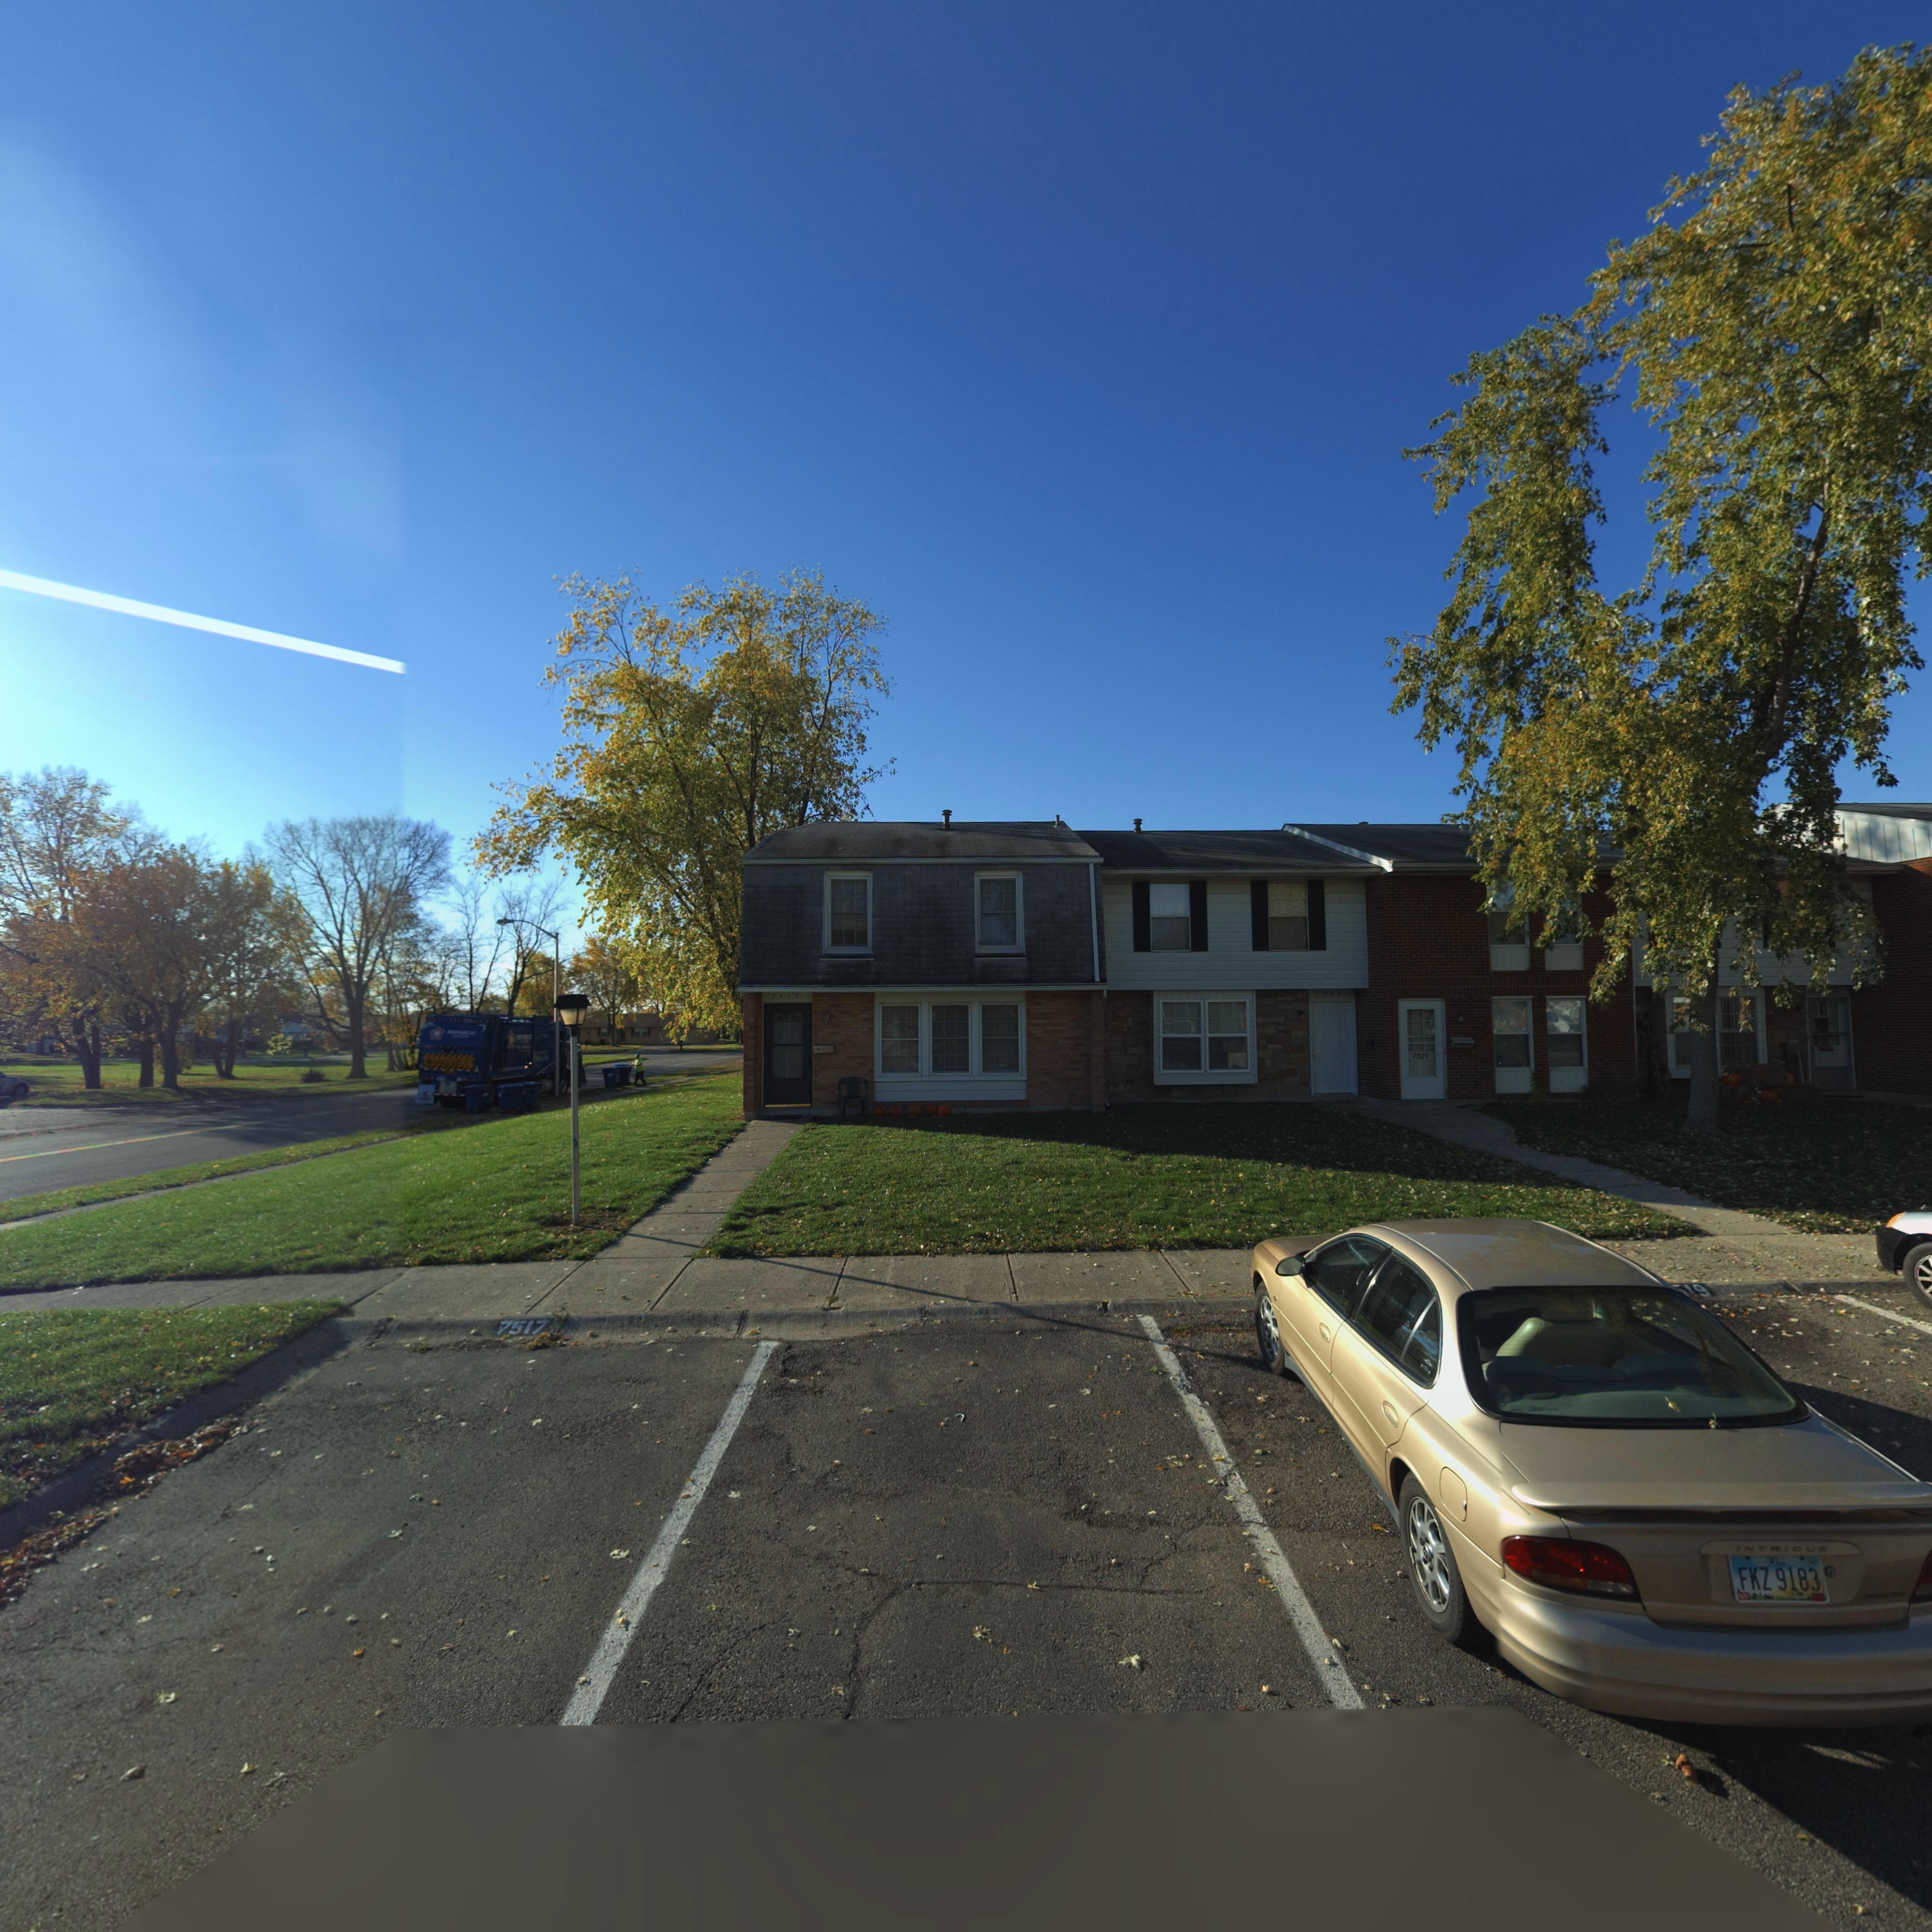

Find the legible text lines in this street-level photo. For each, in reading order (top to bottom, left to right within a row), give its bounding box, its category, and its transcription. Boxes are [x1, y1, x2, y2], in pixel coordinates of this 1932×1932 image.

[771, 993, 800, 1000] StreetNumber: 7517
[1315, 990, 1343, 996] StreetNumber: 7519
[1412, 1053, 1429, 1060] StreetNumber: 7521
[1682, 1284, 1713, 1298] StreetNumber: 19
[495, 1319, 554, 1334] StreetNumber: 7517